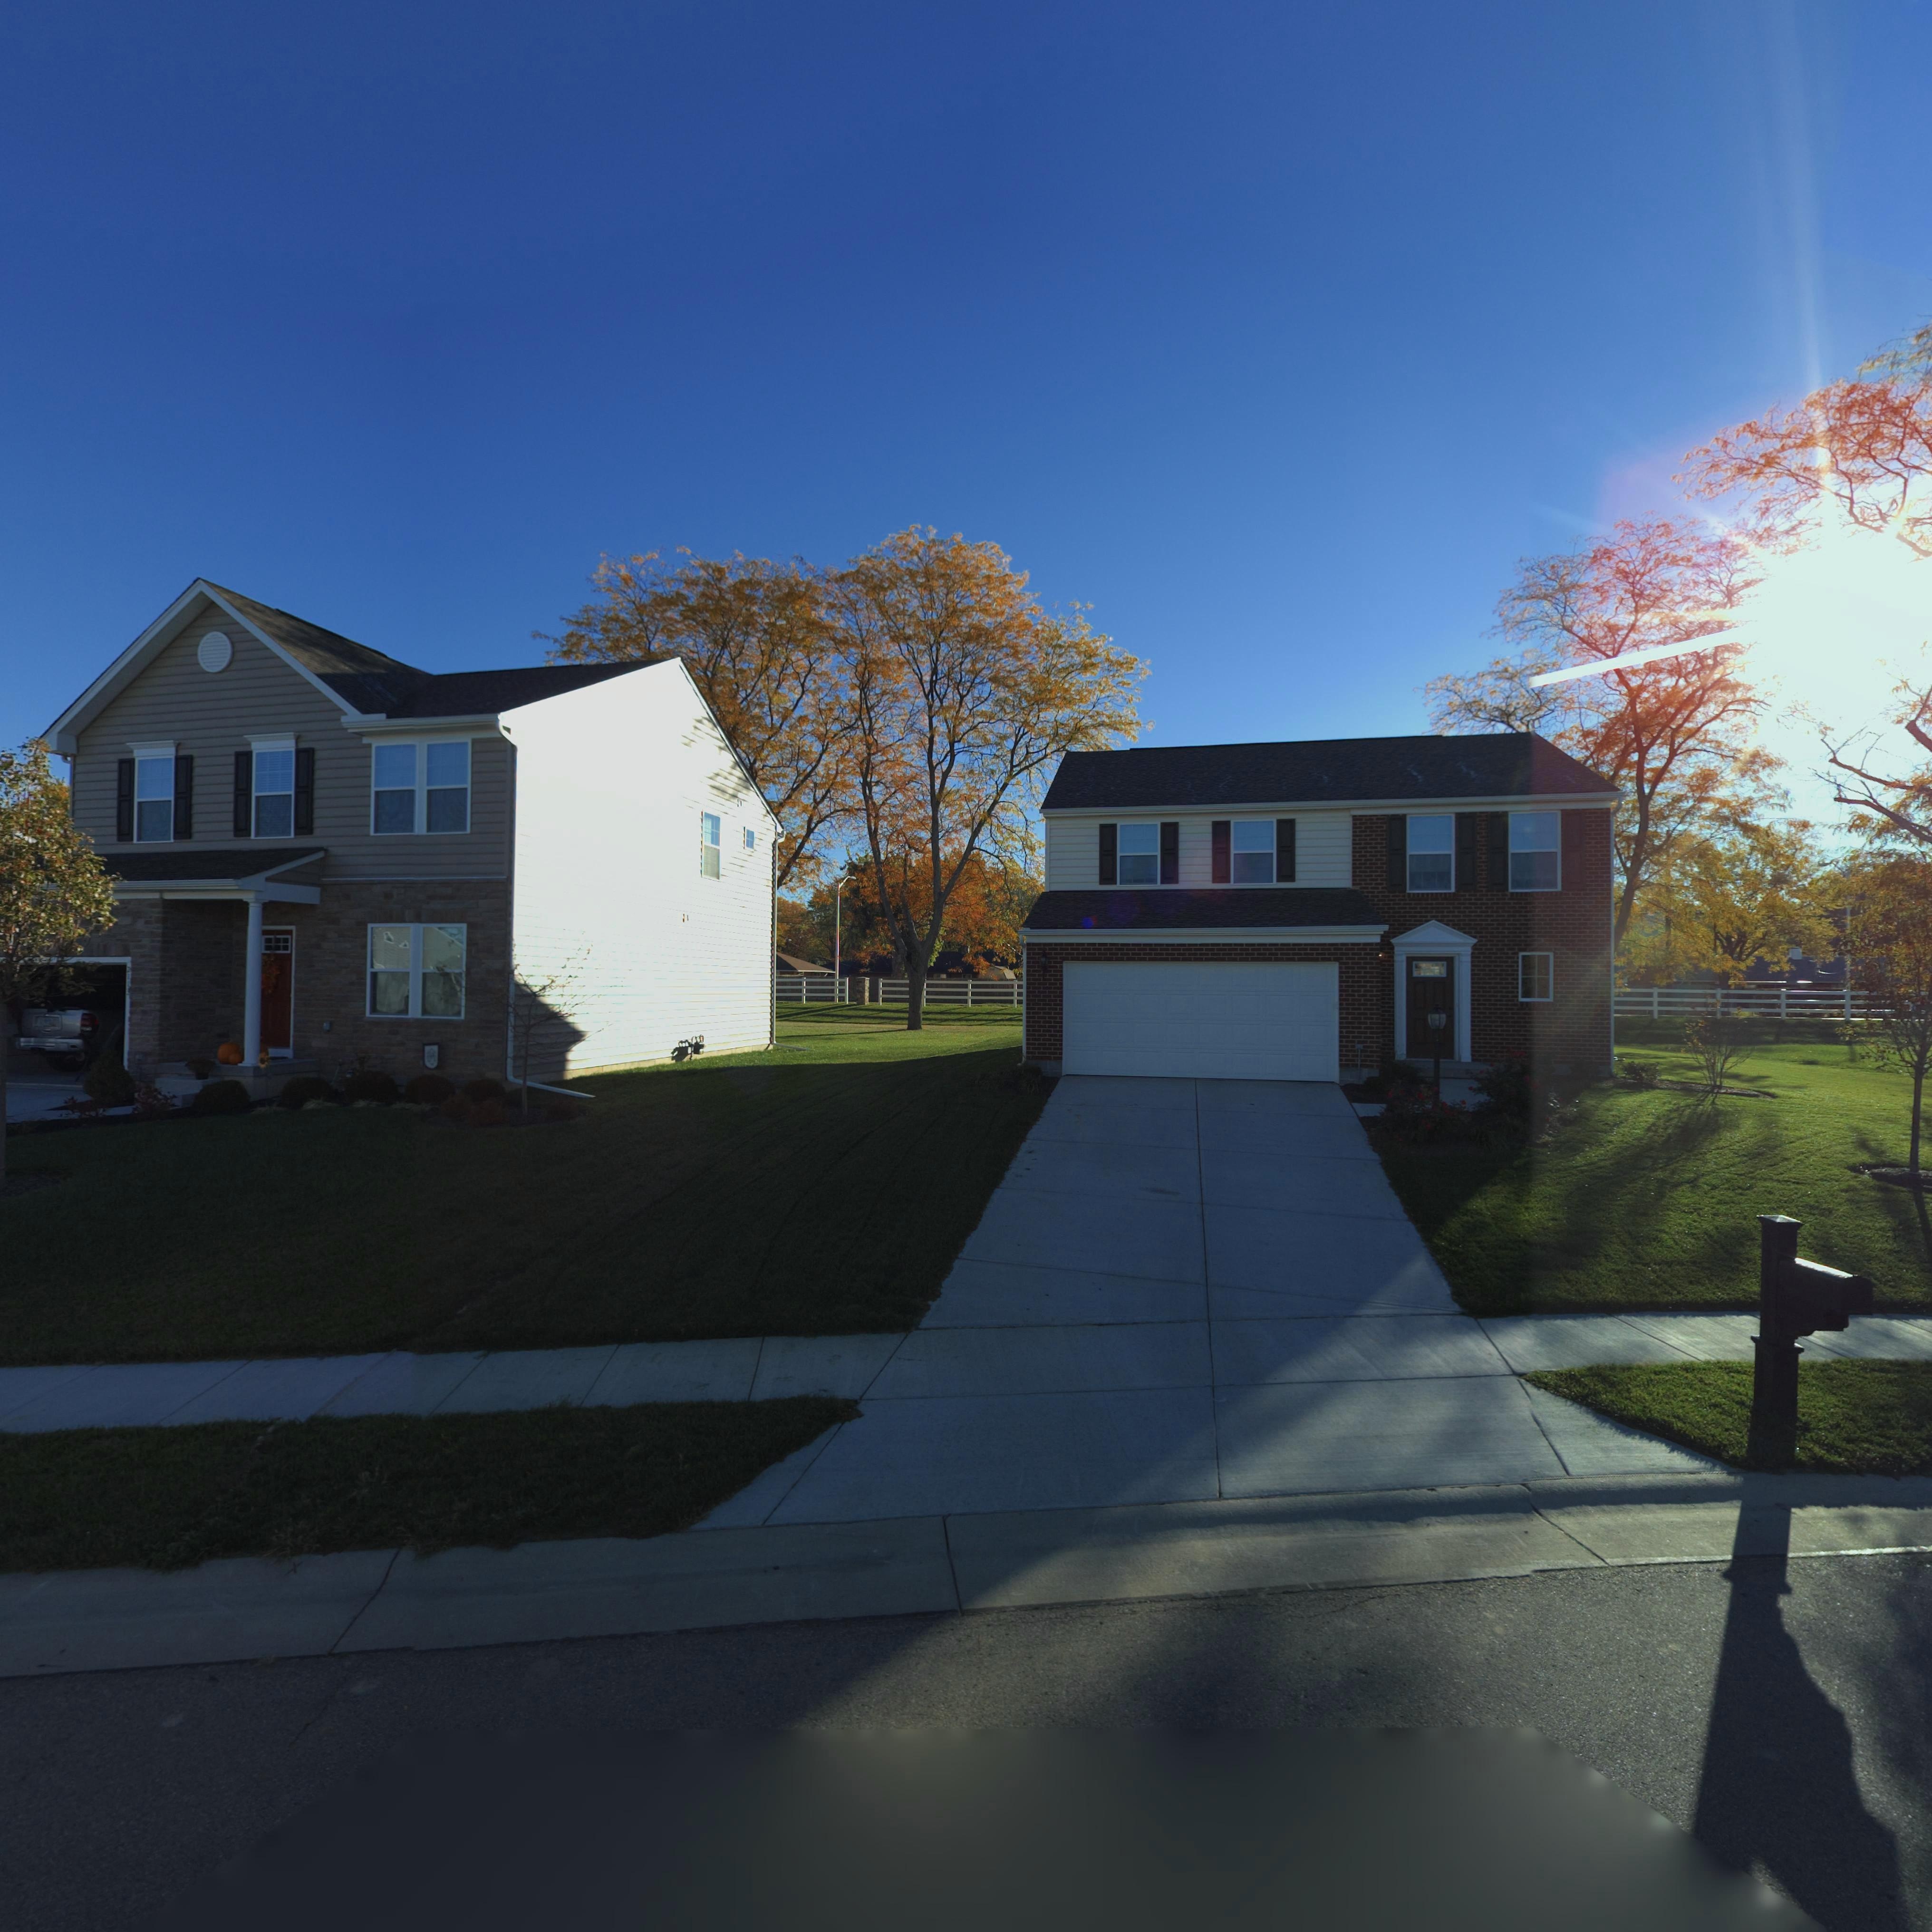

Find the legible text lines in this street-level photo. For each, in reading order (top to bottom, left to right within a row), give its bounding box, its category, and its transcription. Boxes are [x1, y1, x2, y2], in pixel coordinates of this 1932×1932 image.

[126, 966, 131, 980] StreetNumber: *1